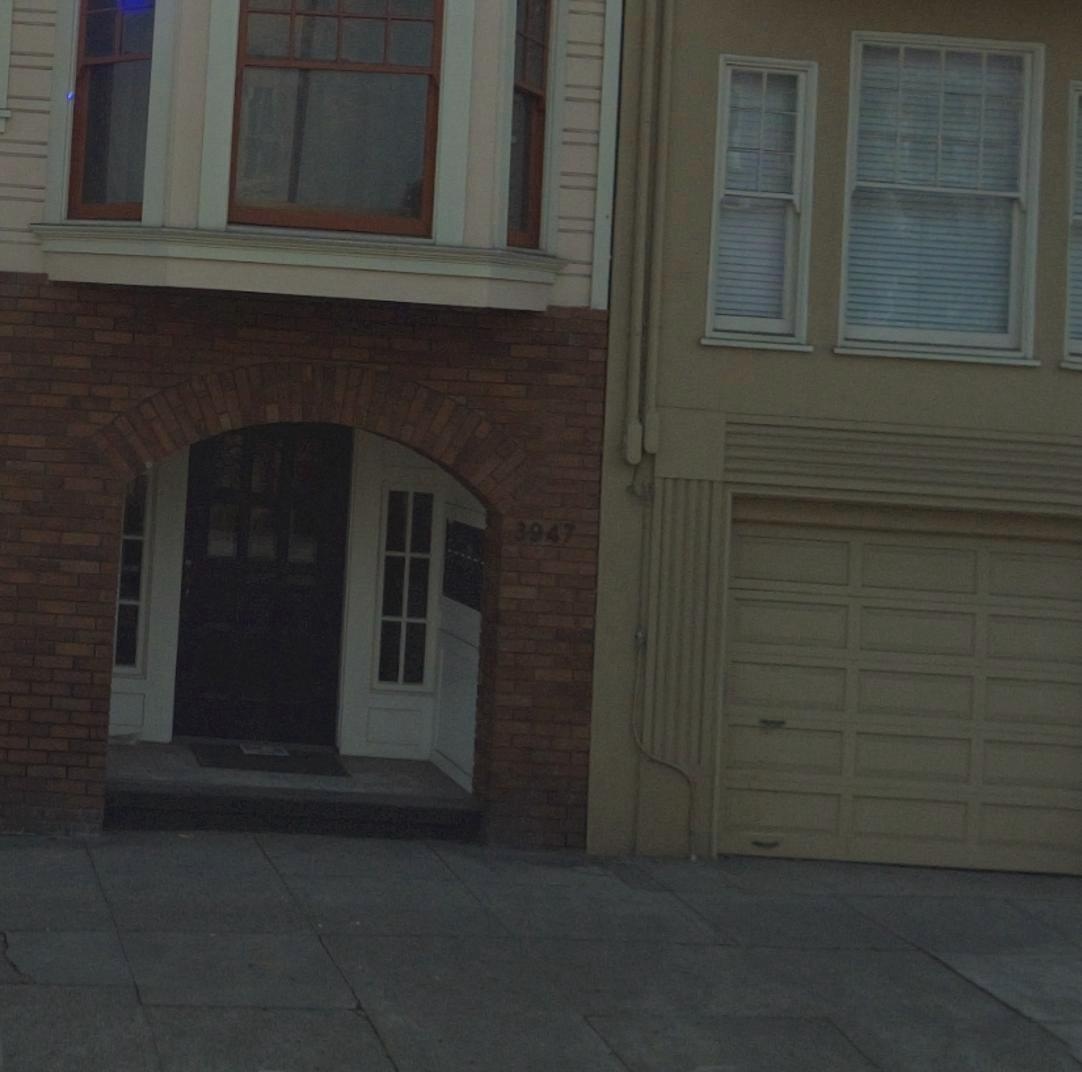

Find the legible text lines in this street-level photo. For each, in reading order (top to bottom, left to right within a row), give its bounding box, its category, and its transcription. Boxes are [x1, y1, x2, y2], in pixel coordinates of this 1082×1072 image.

[513, 519, 578, 545] StreetNumber: 3947